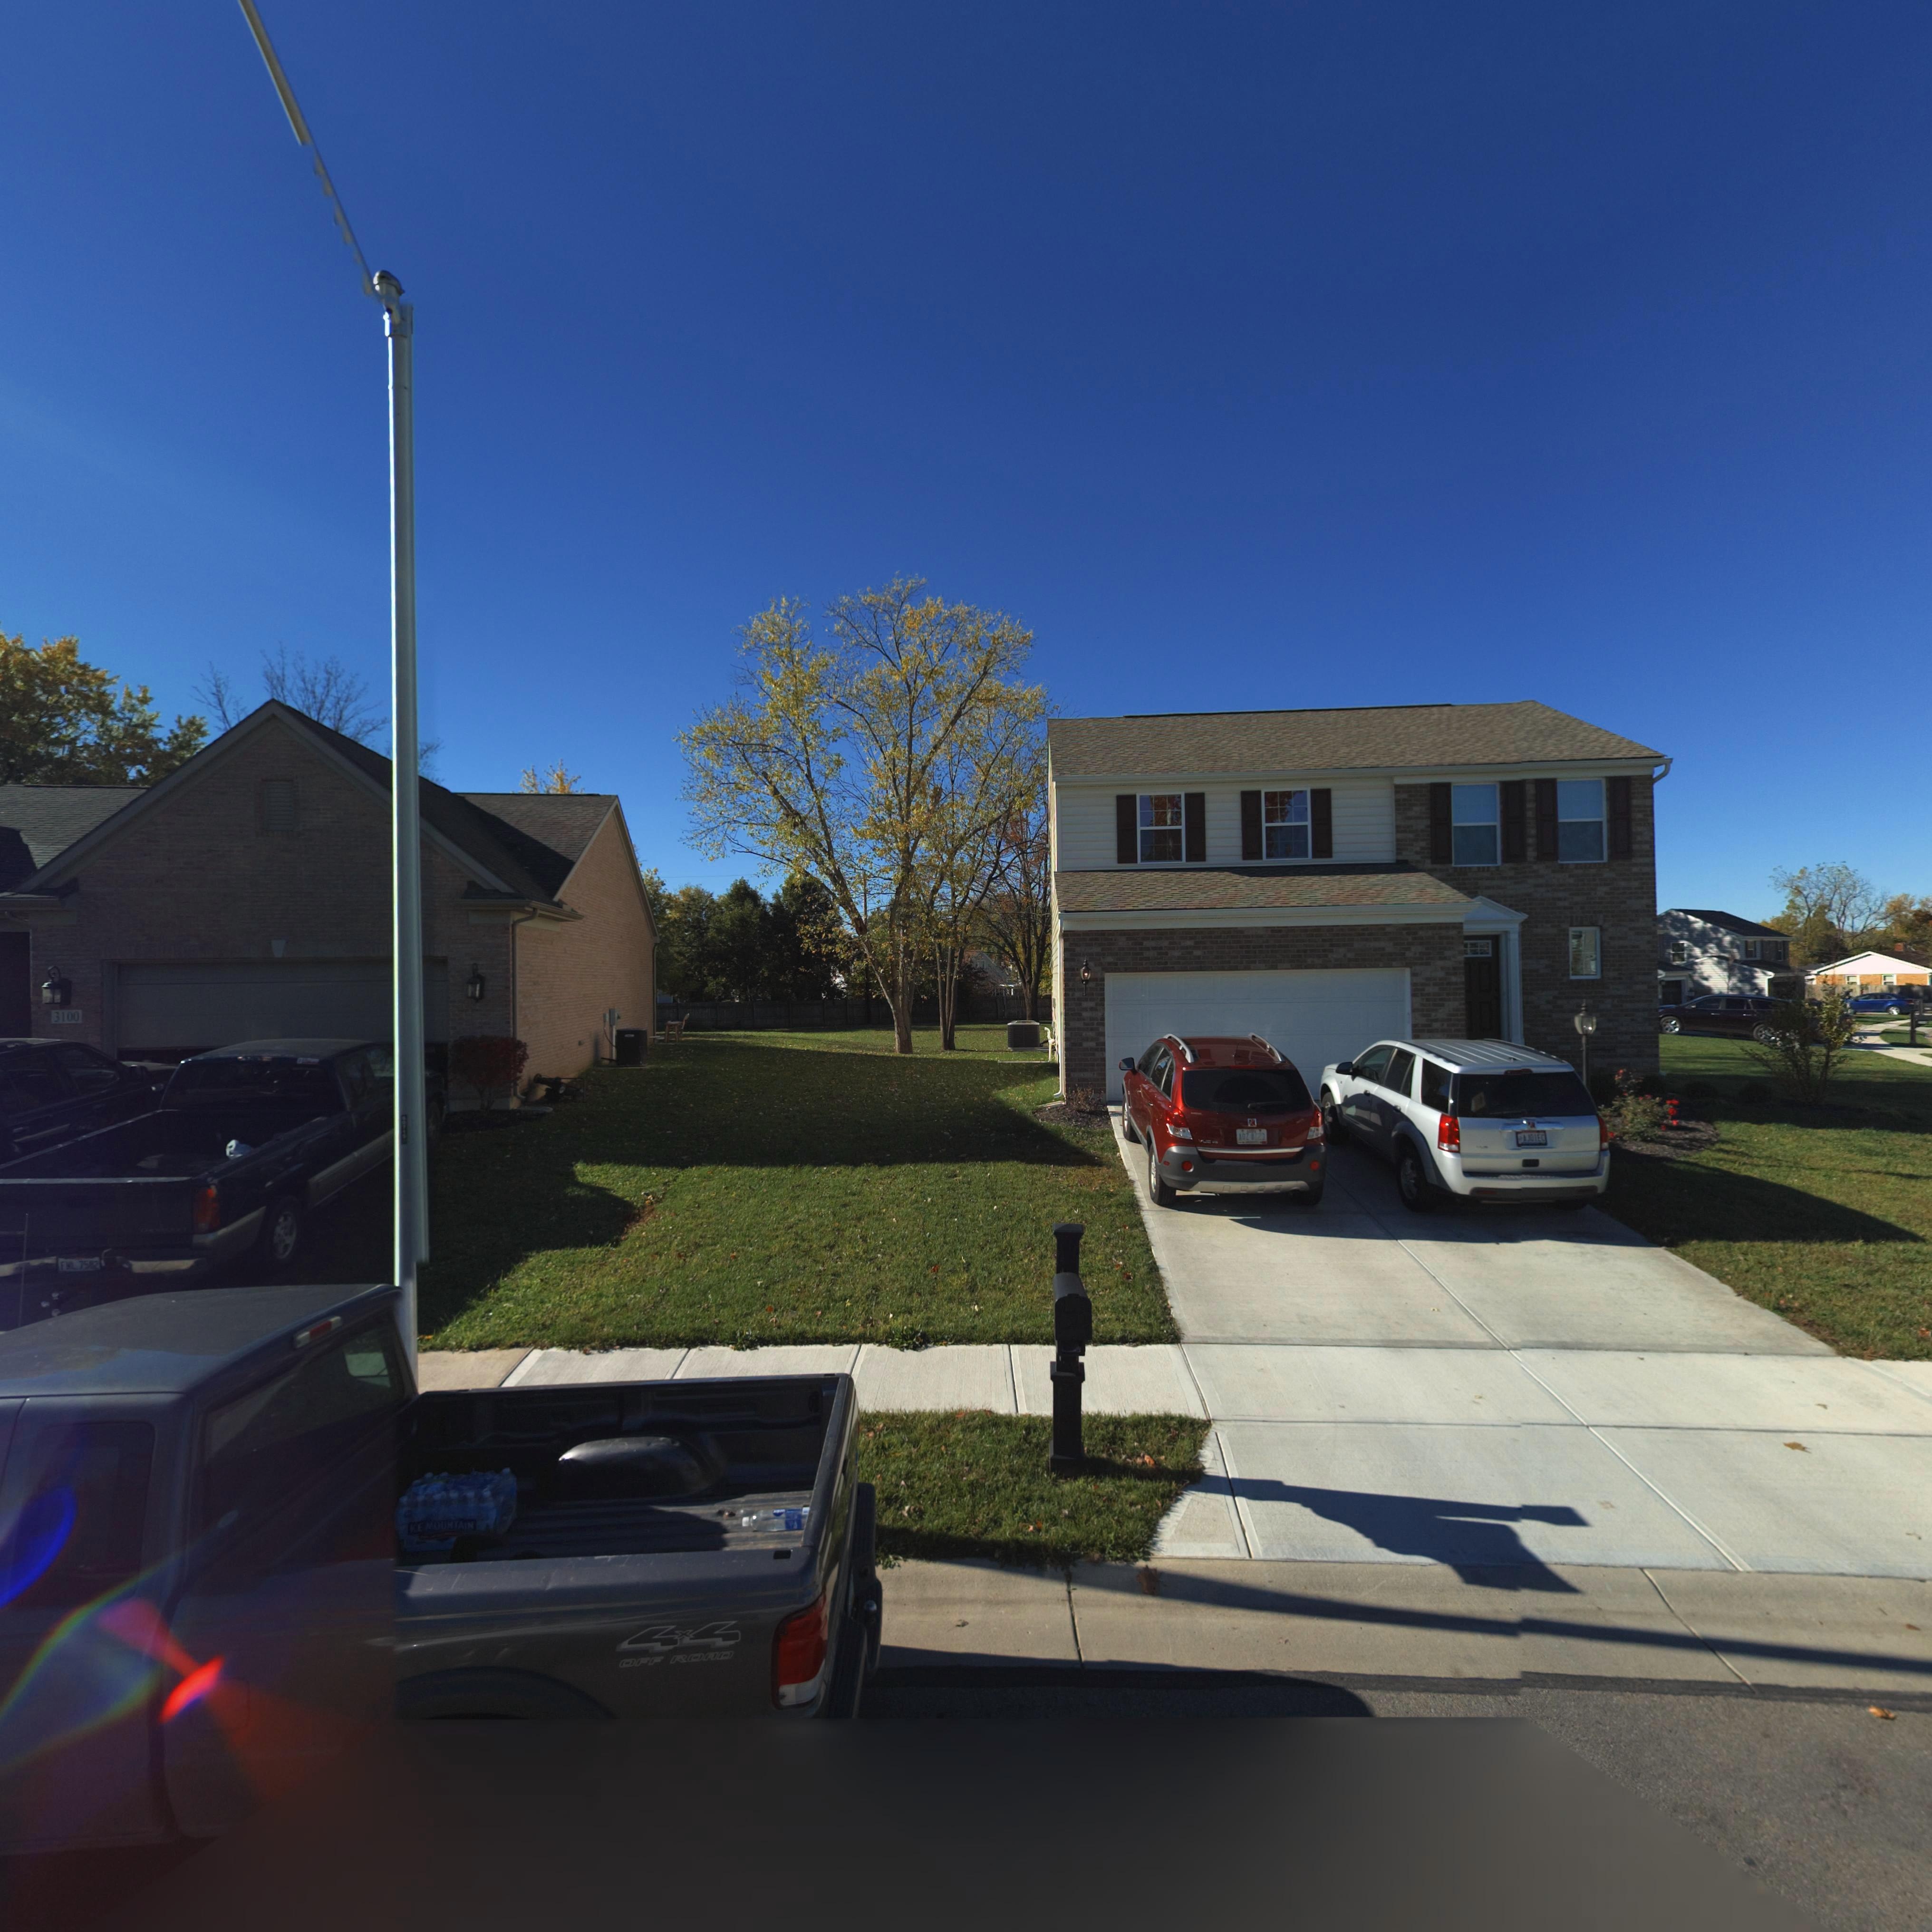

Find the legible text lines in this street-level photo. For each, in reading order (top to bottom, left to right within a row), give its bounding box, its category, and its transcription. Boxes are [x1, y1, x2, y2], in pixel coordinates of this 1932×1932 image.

[53, 1010, 79, 1022] StreetNumber: 3100